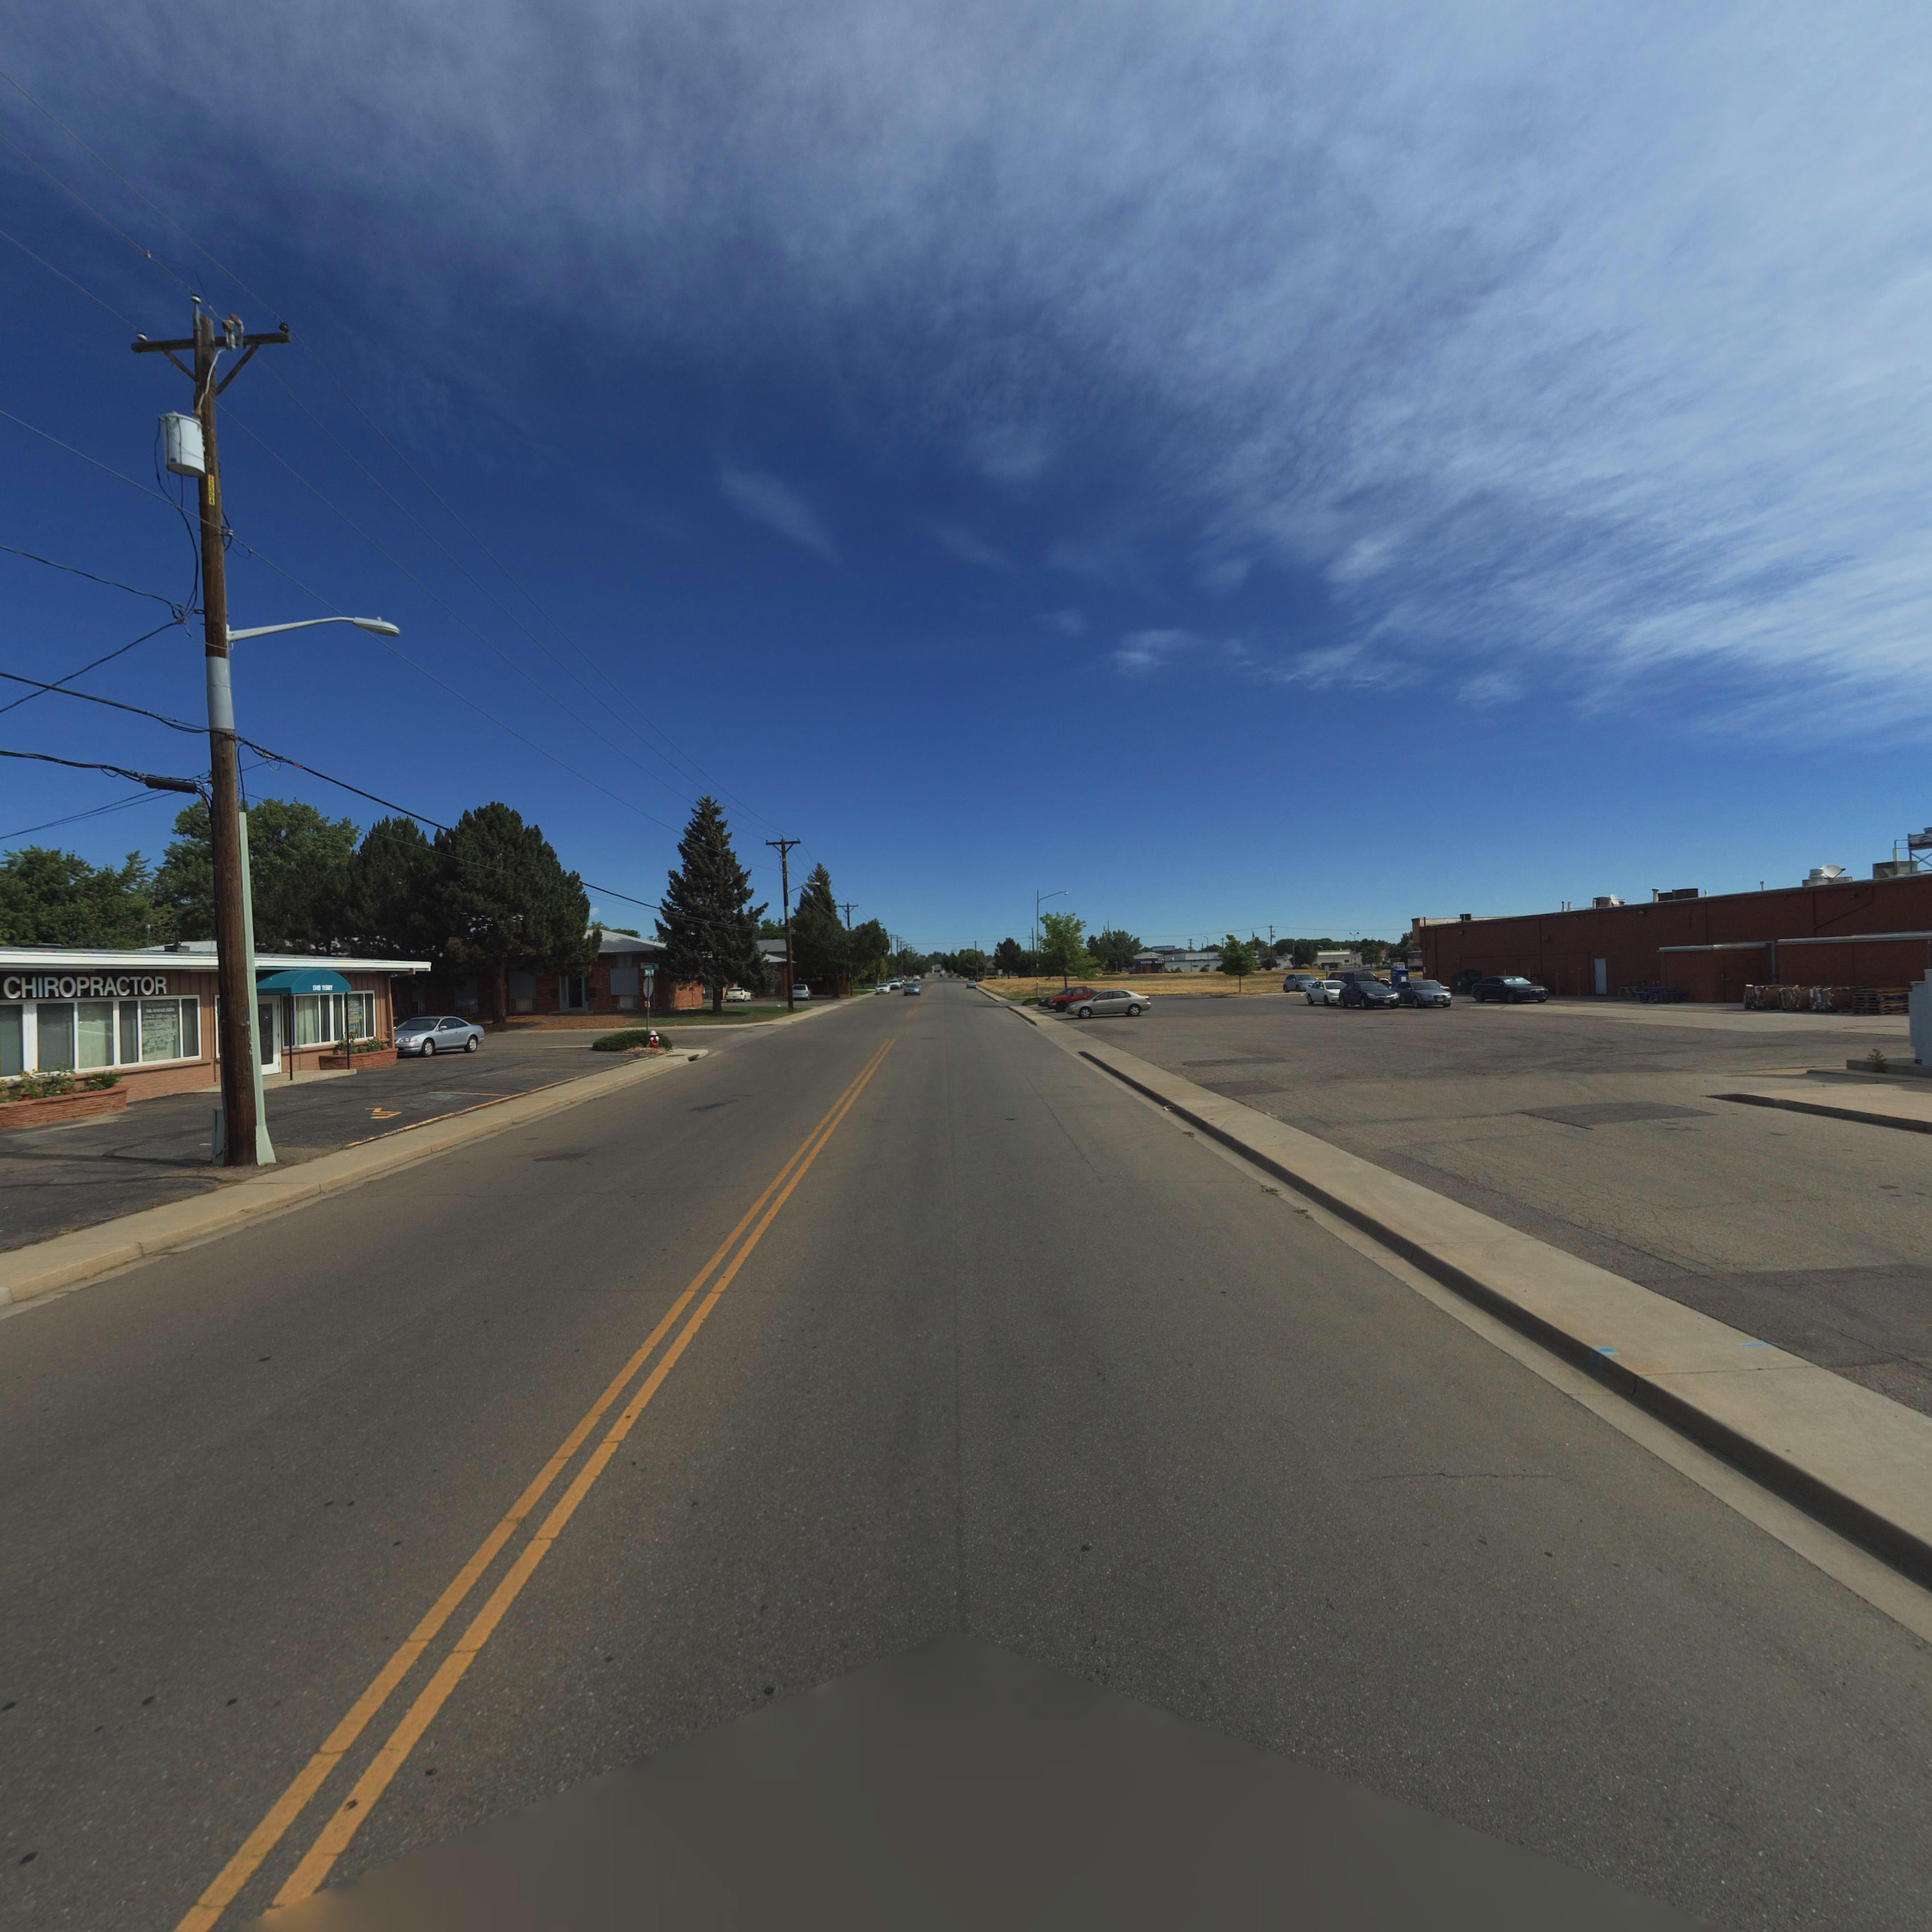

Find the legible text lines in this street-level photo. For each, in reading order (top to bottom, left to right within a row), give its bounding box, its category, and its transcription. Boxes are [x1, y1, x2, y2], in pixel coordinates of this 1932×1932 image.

[1140, 960, 1164, 964] BusinessName: **P** W***
[640, 963, 658, 969] StreetName: Q****s D*
[312, 984, 321, 991] StreetNumber: 1*49
[321, 985, 333, 991] StreetName: TE**Y